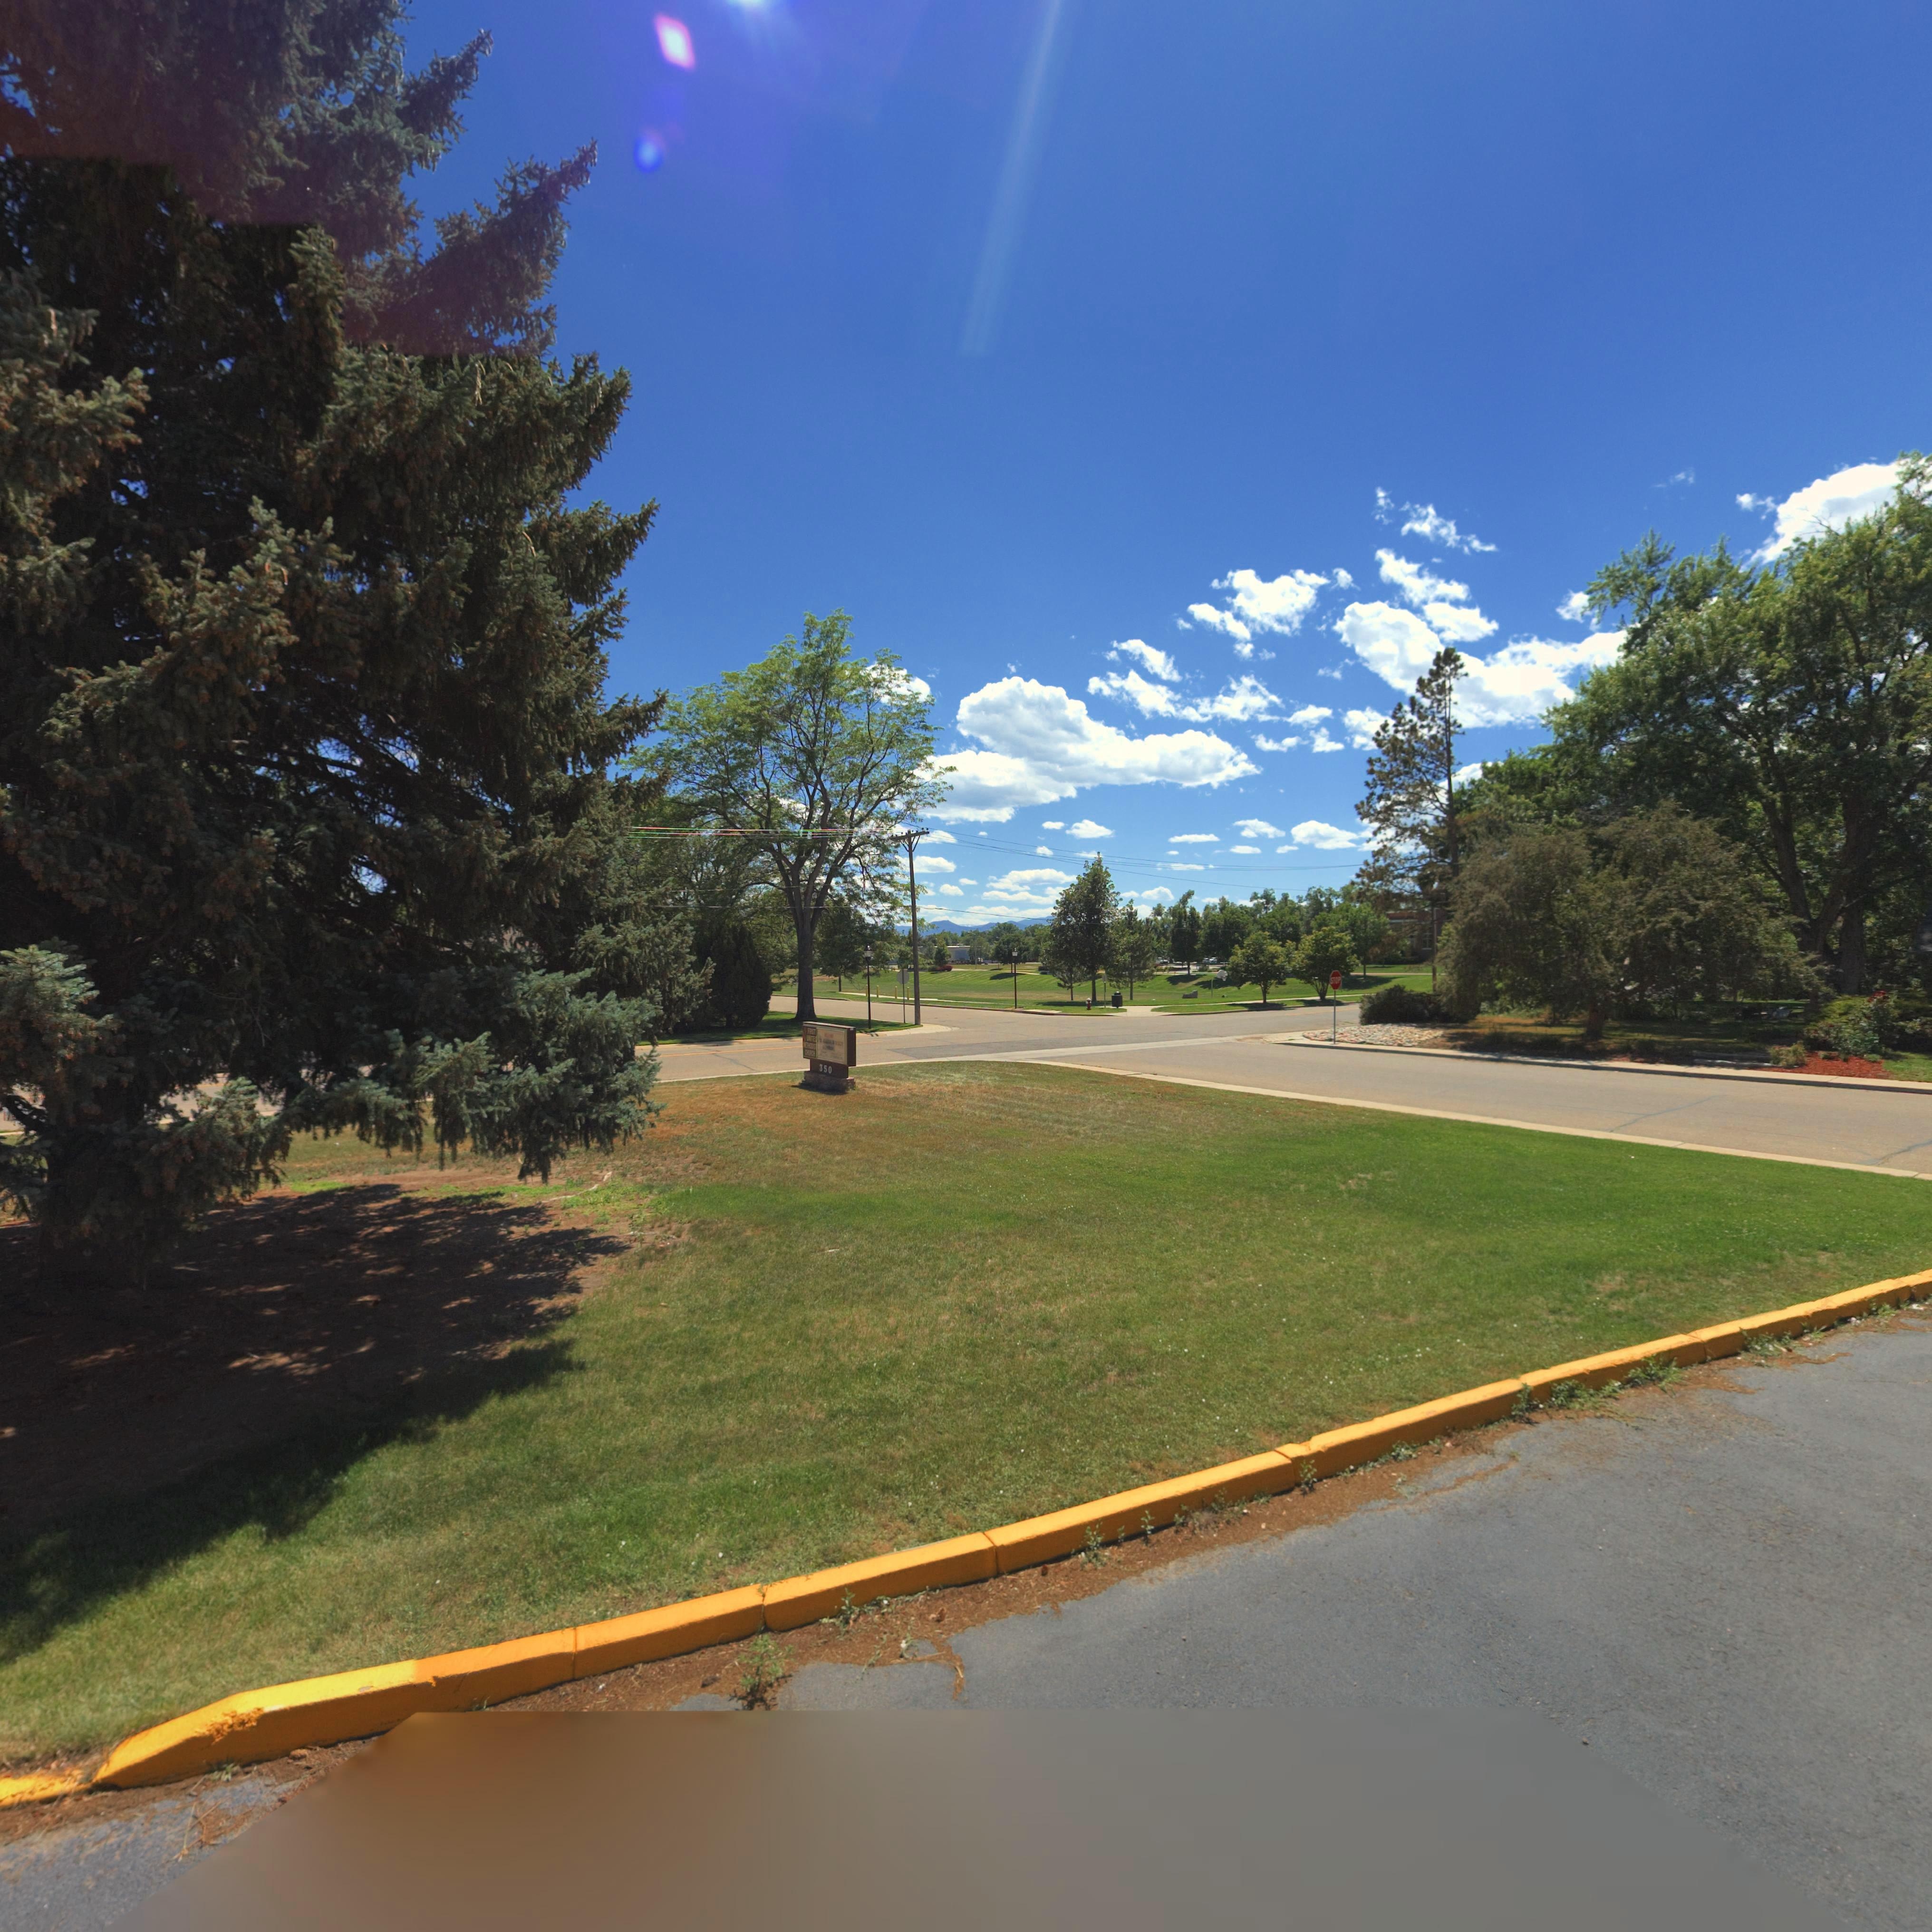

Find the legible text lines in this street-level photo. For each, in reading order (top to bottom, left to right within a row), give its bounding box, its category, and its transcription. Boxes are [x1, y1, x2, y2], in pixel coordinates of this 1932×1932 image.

[807, 1028, 816, 1035] BusinessName: **RST
[806, 1035, 817, 1042] BusinessName: **ITED
[803, 1042, 816, 1049] BusinessName: *ET*O**S*
[805, 1049, 815, 1057] BusinessName: C**RCH
[819, 1064, 832, 1073] StreetNumber: 350